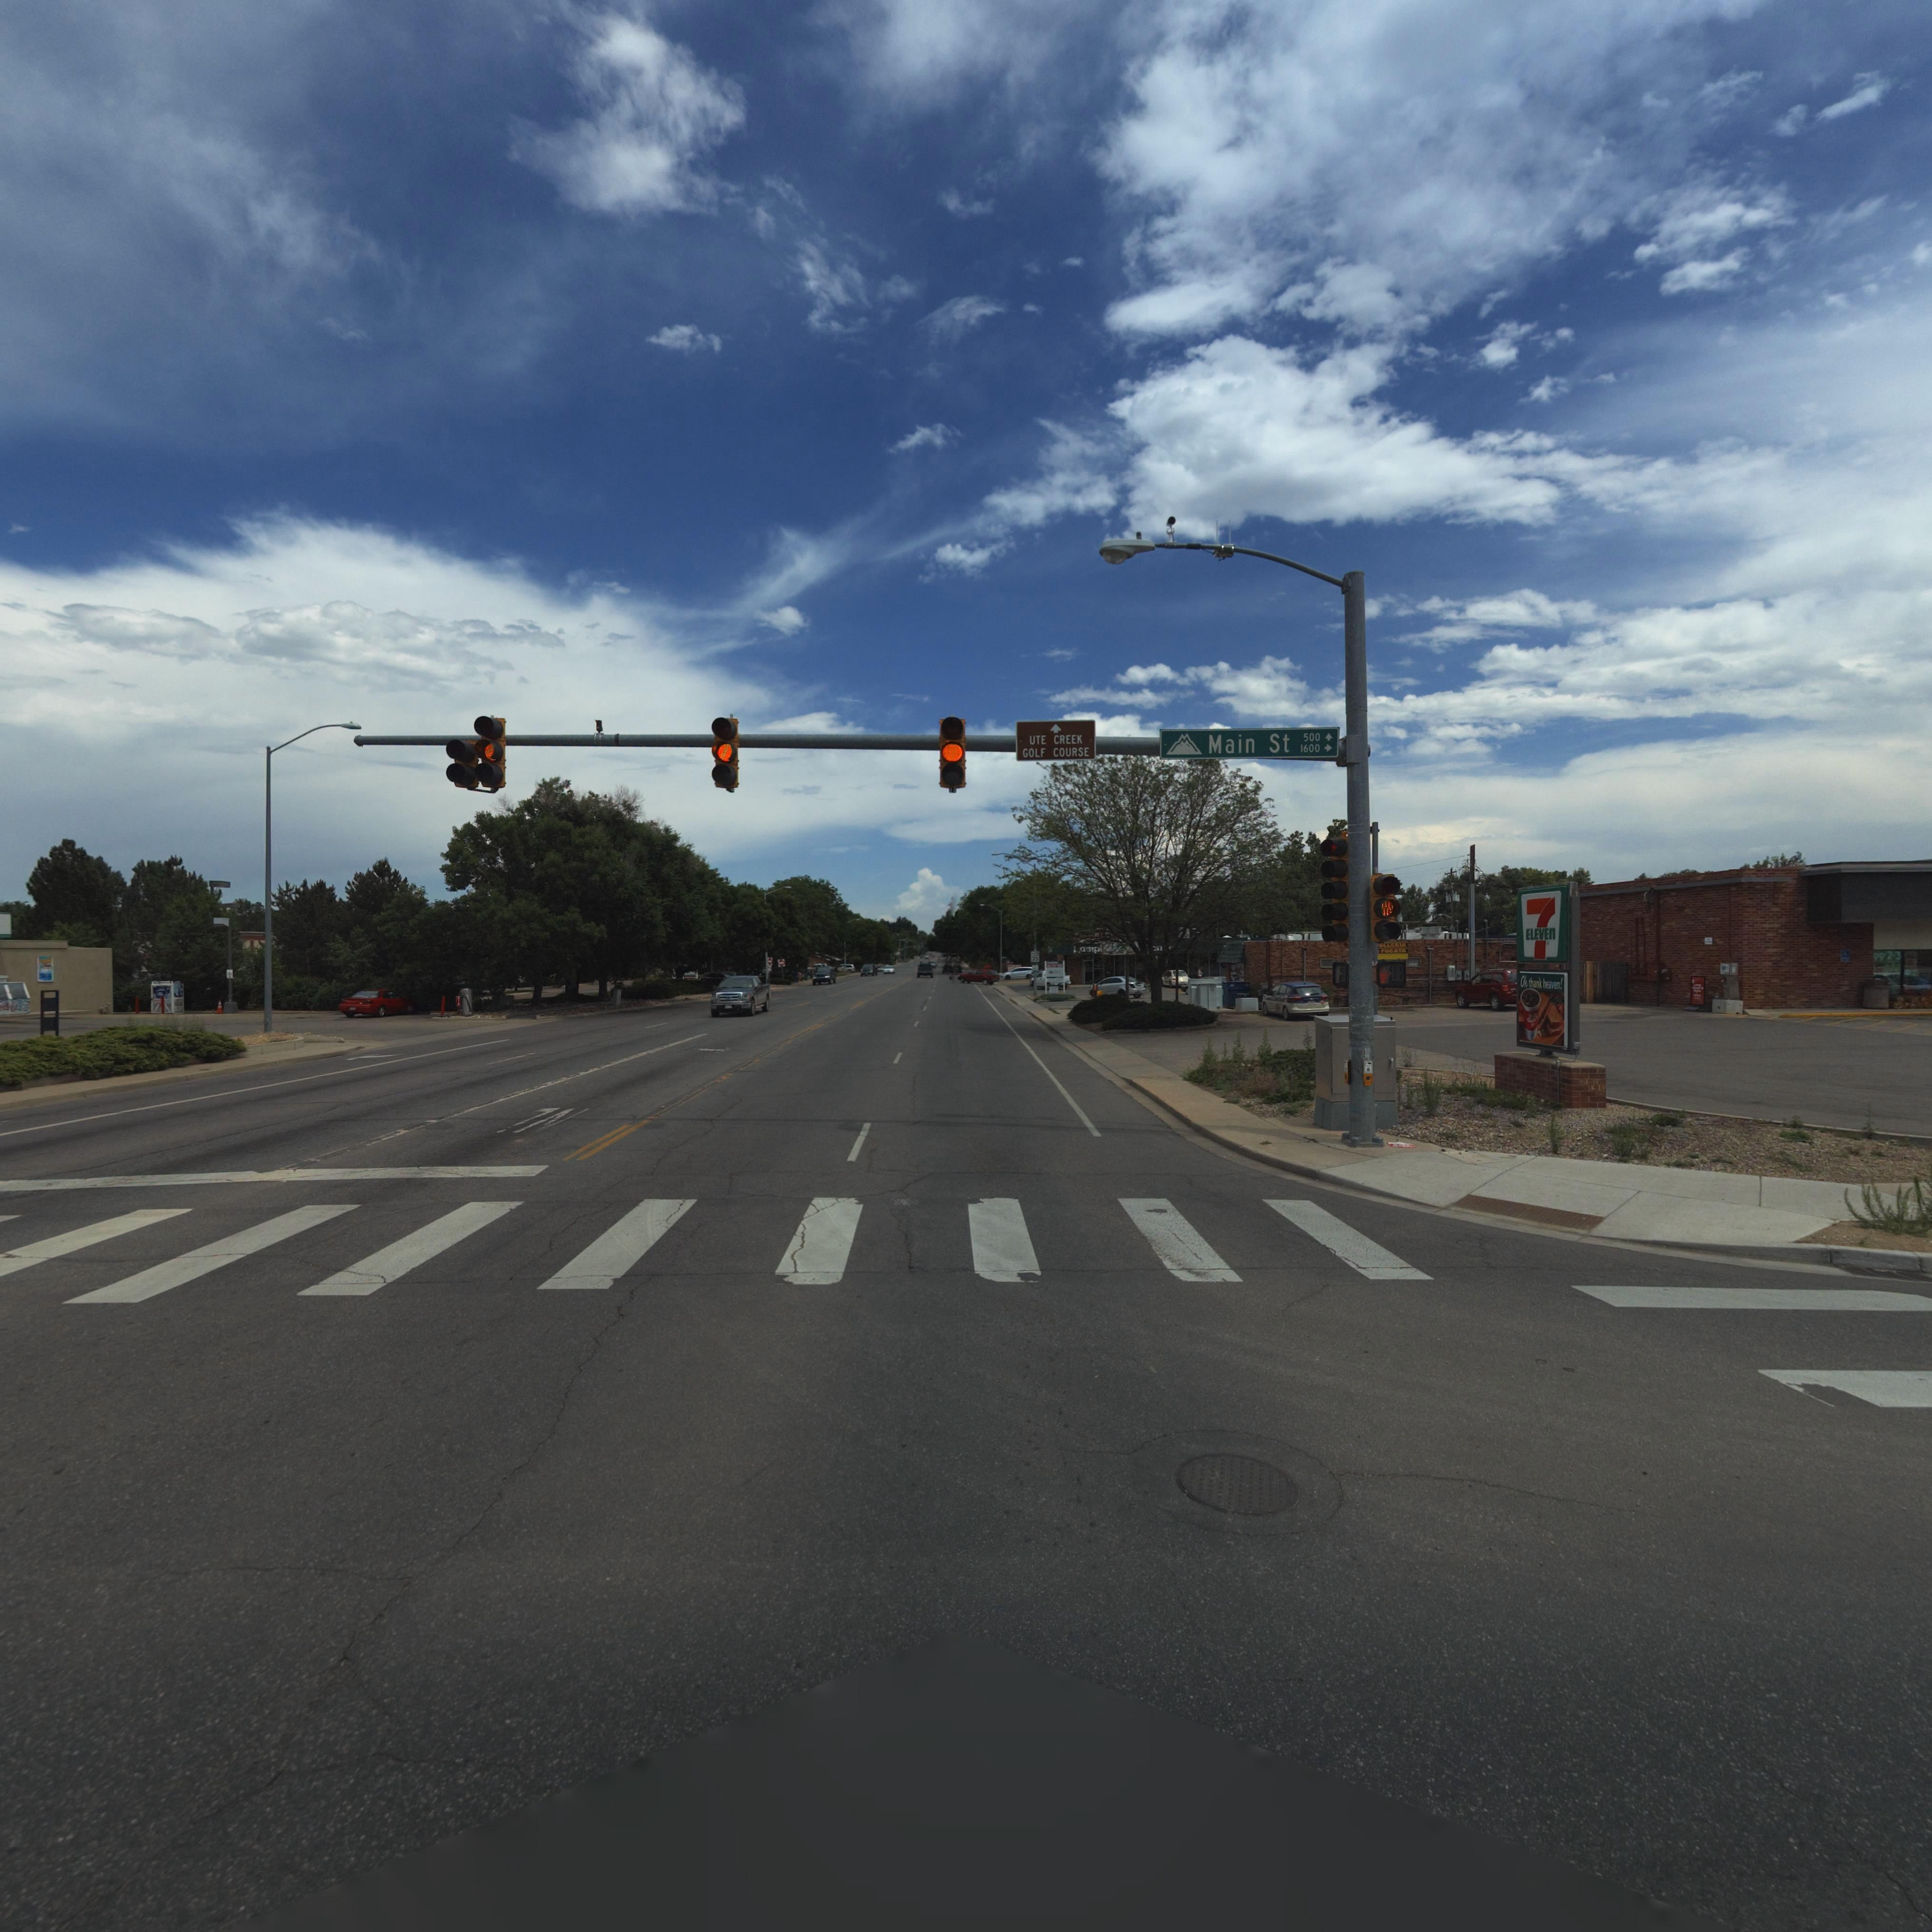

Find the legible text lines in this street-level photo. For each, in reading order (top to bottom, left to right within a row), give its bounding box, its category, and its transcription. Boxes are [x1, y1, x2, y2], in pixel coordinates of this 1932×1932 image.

[1303, 732, 1321, 742] StreetNumberRange: 500
[1208, 733, 1290, 754] StreetName: Main St
[1300, 743, 1333, 753] StreetNumberRange: 1600->
[1526, 896, 1555, 960] BusinessName: 7
[1526, 927, 1555, 940] BusinessName: ELEVEn
[1072, 943, 1103, 954] BusinessName: *a*p*
[1379, 943, 1407, 947] BusinessName: OLL**I*
[1381, 948, 1406, 954] BusinessName: *O**T*